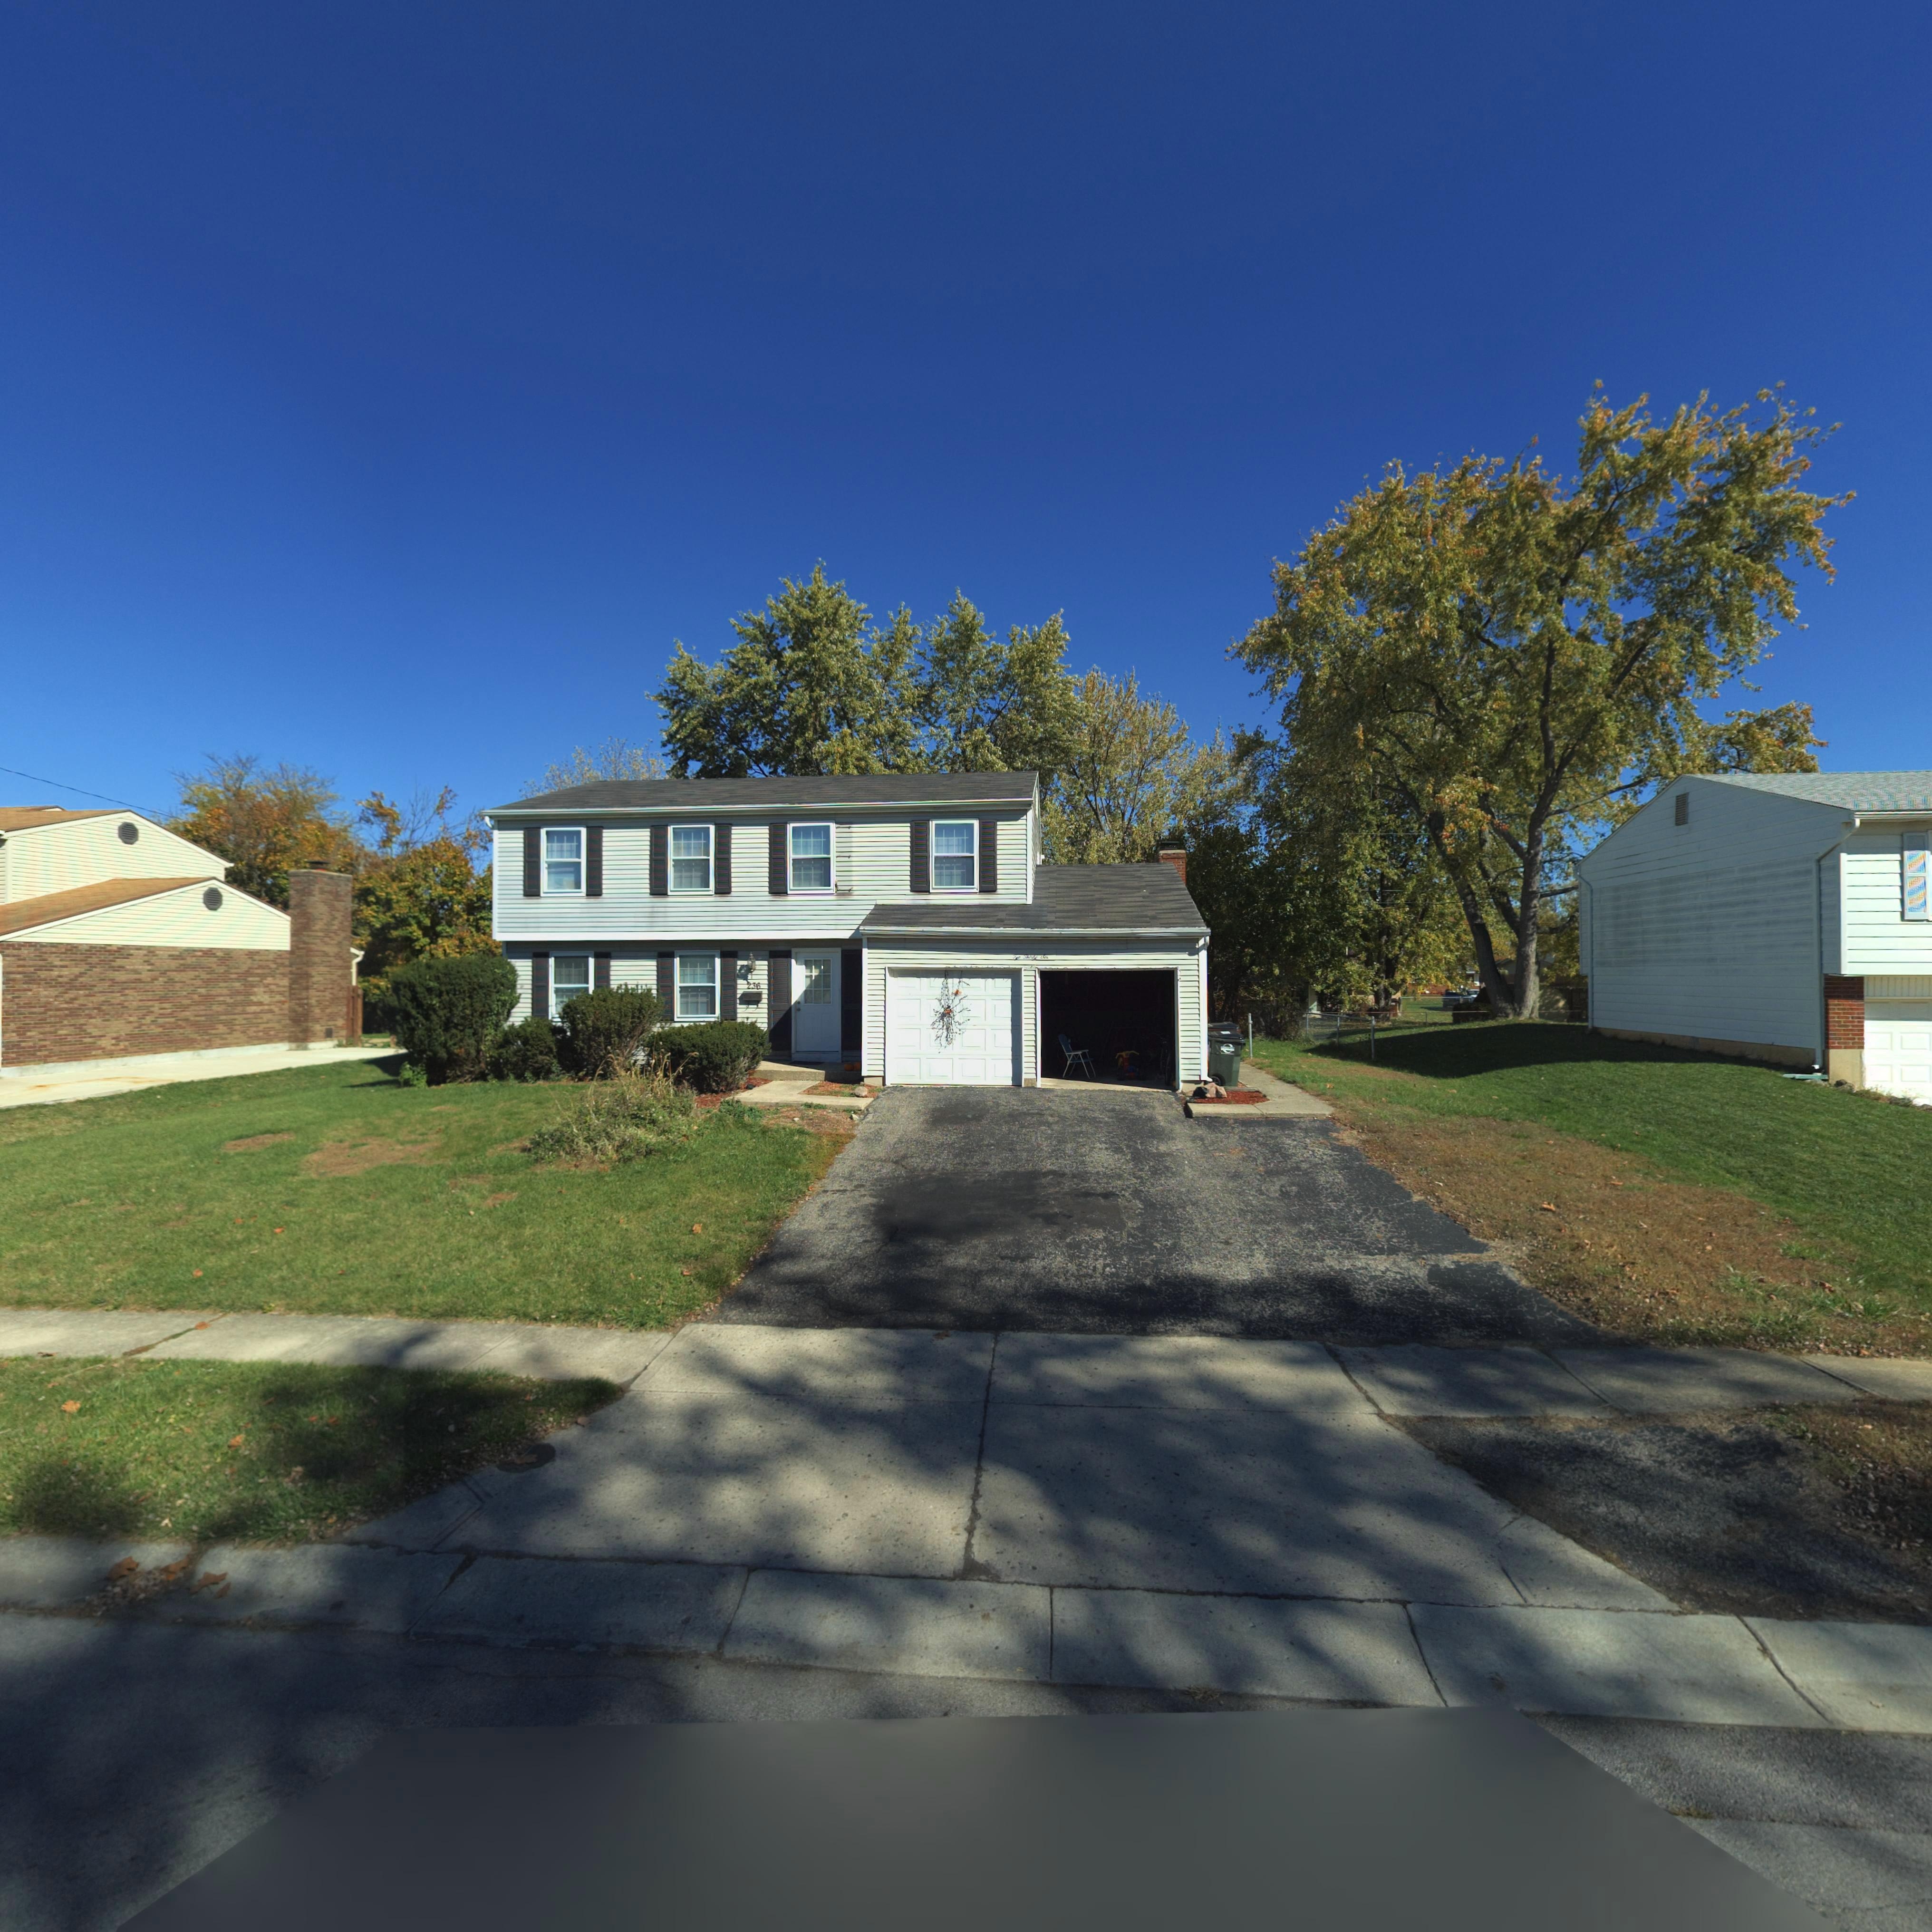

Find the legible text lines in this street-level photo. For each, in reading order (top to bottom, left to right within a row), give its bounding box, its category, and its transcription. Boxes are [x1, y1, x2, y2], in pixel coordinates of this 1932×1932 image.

[746, 981, 761, 990] StreetNumber: 236